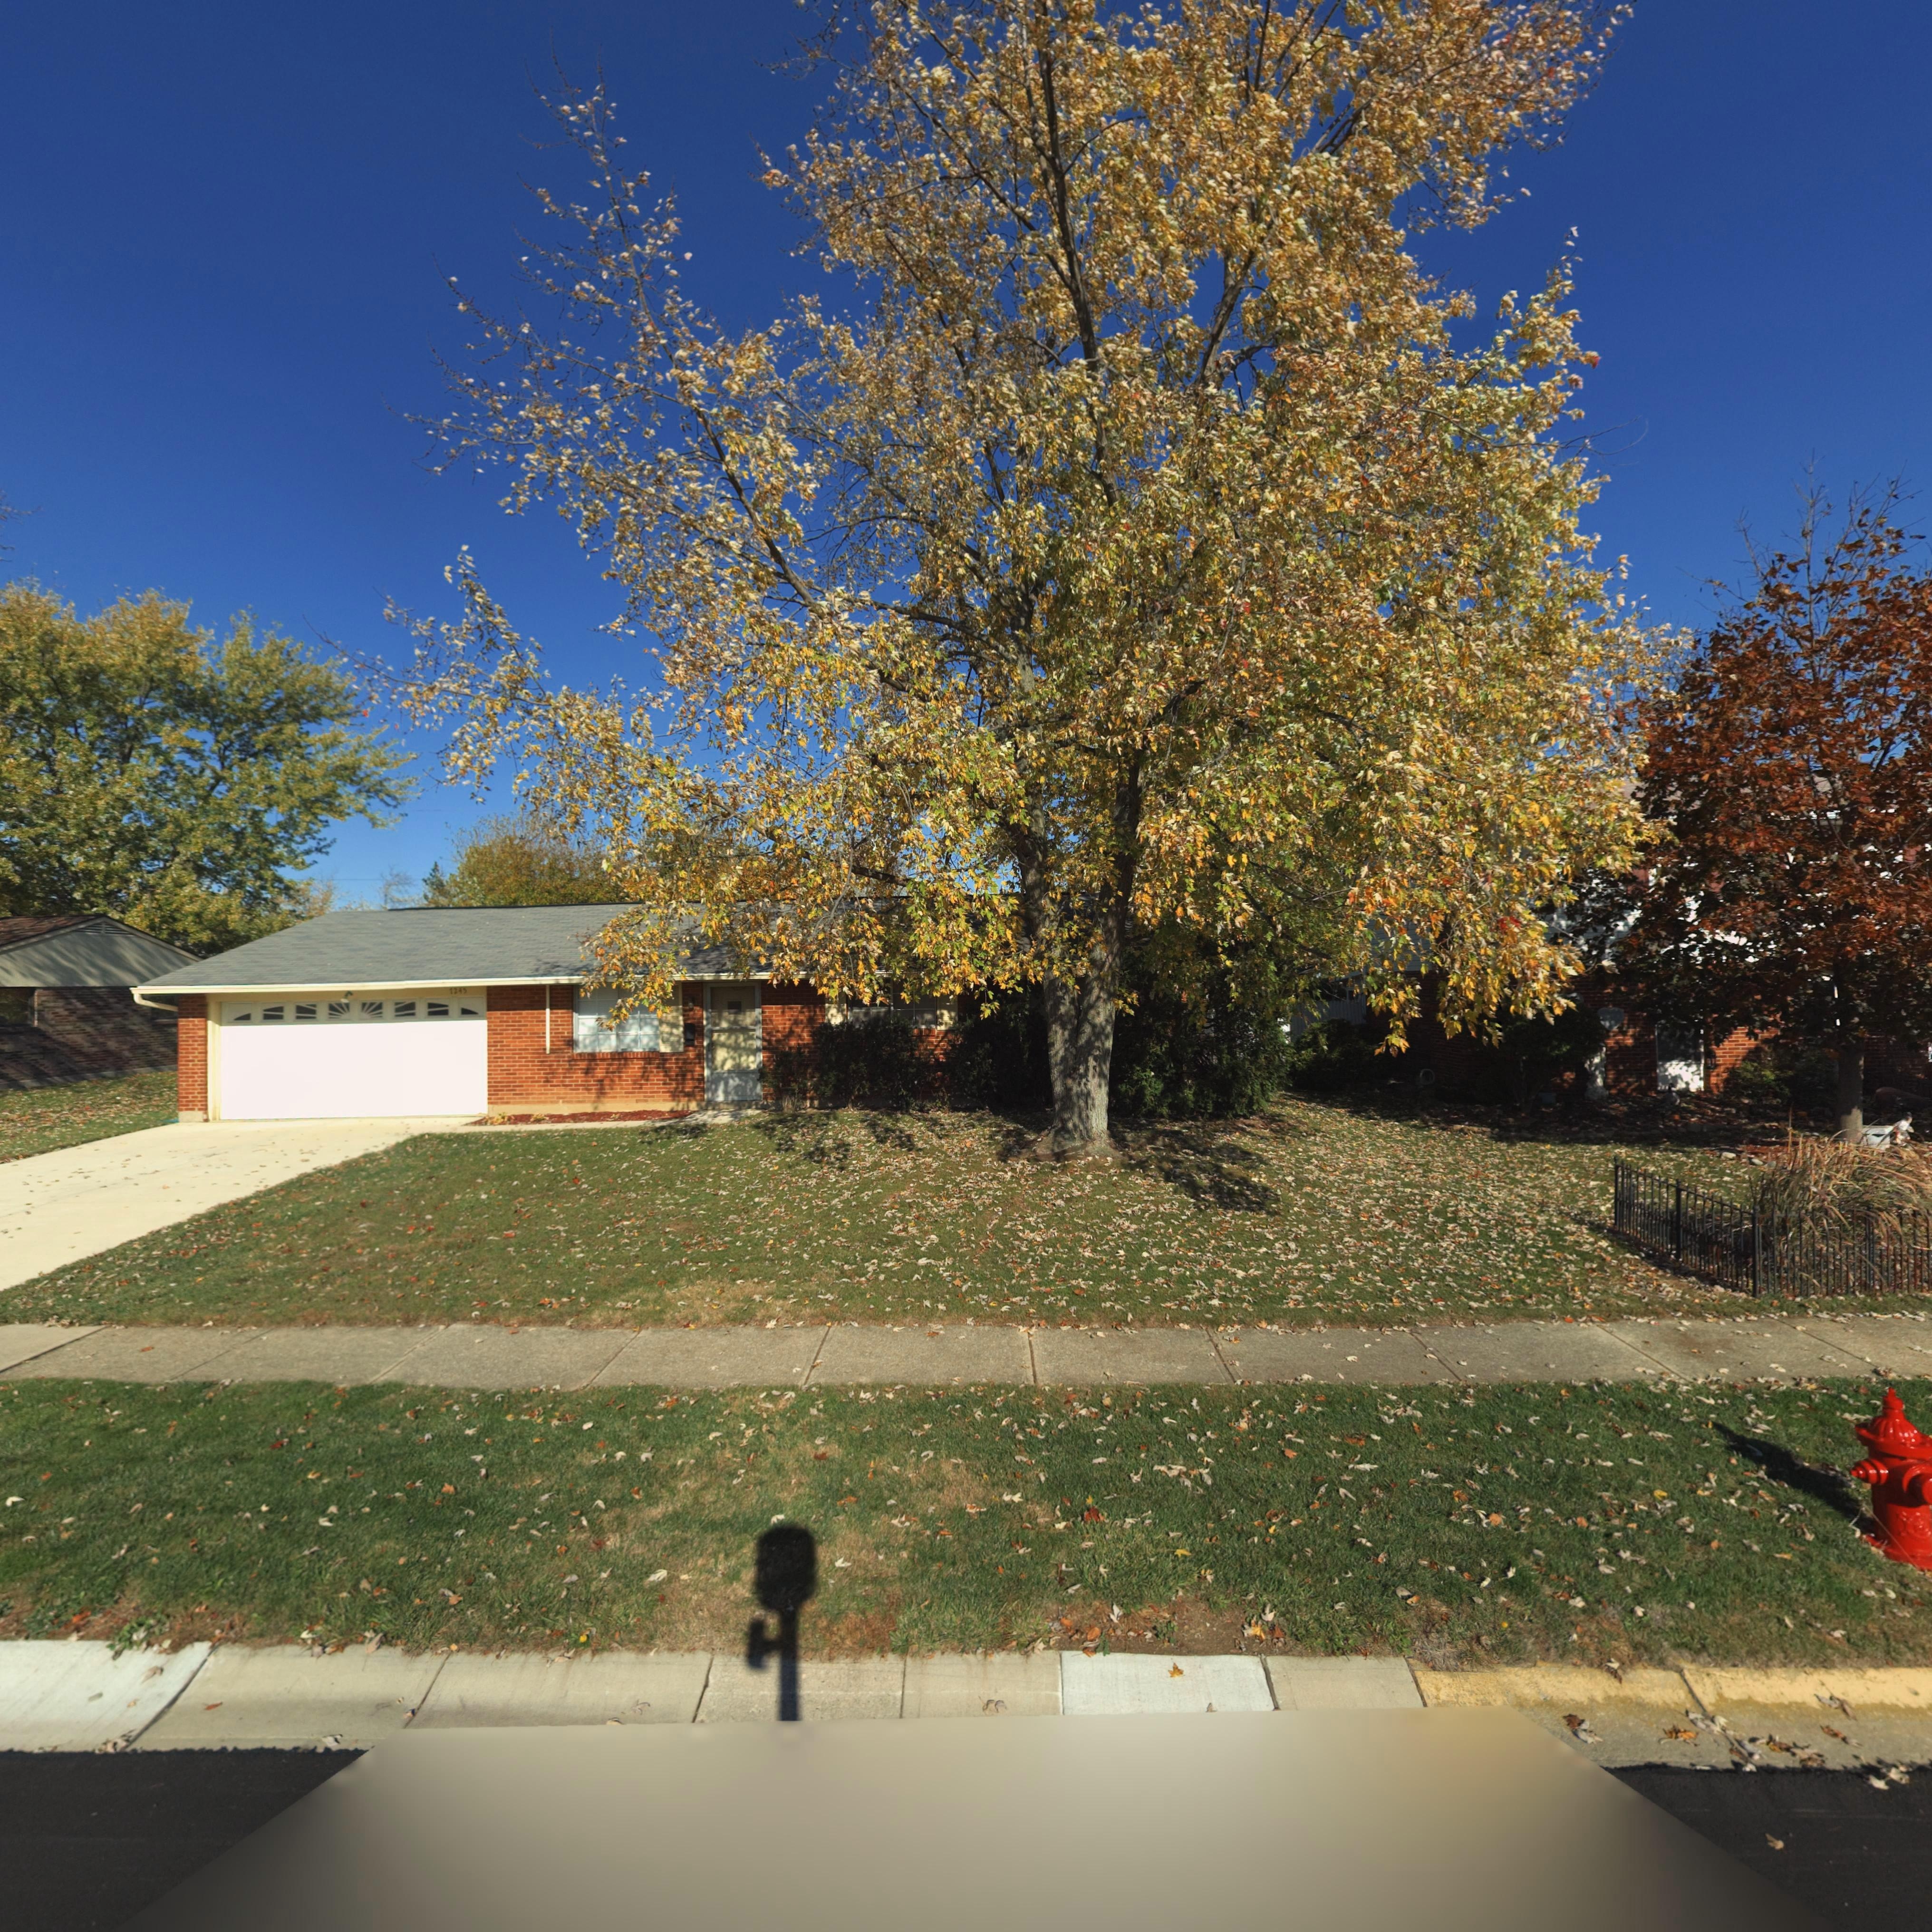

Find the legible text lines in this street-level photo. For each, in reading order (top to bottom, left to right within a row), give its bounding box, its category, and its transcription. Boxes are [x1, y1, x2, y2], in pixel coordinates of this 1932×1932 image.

[448, 986, 469, 996] StreetNumber: 724*